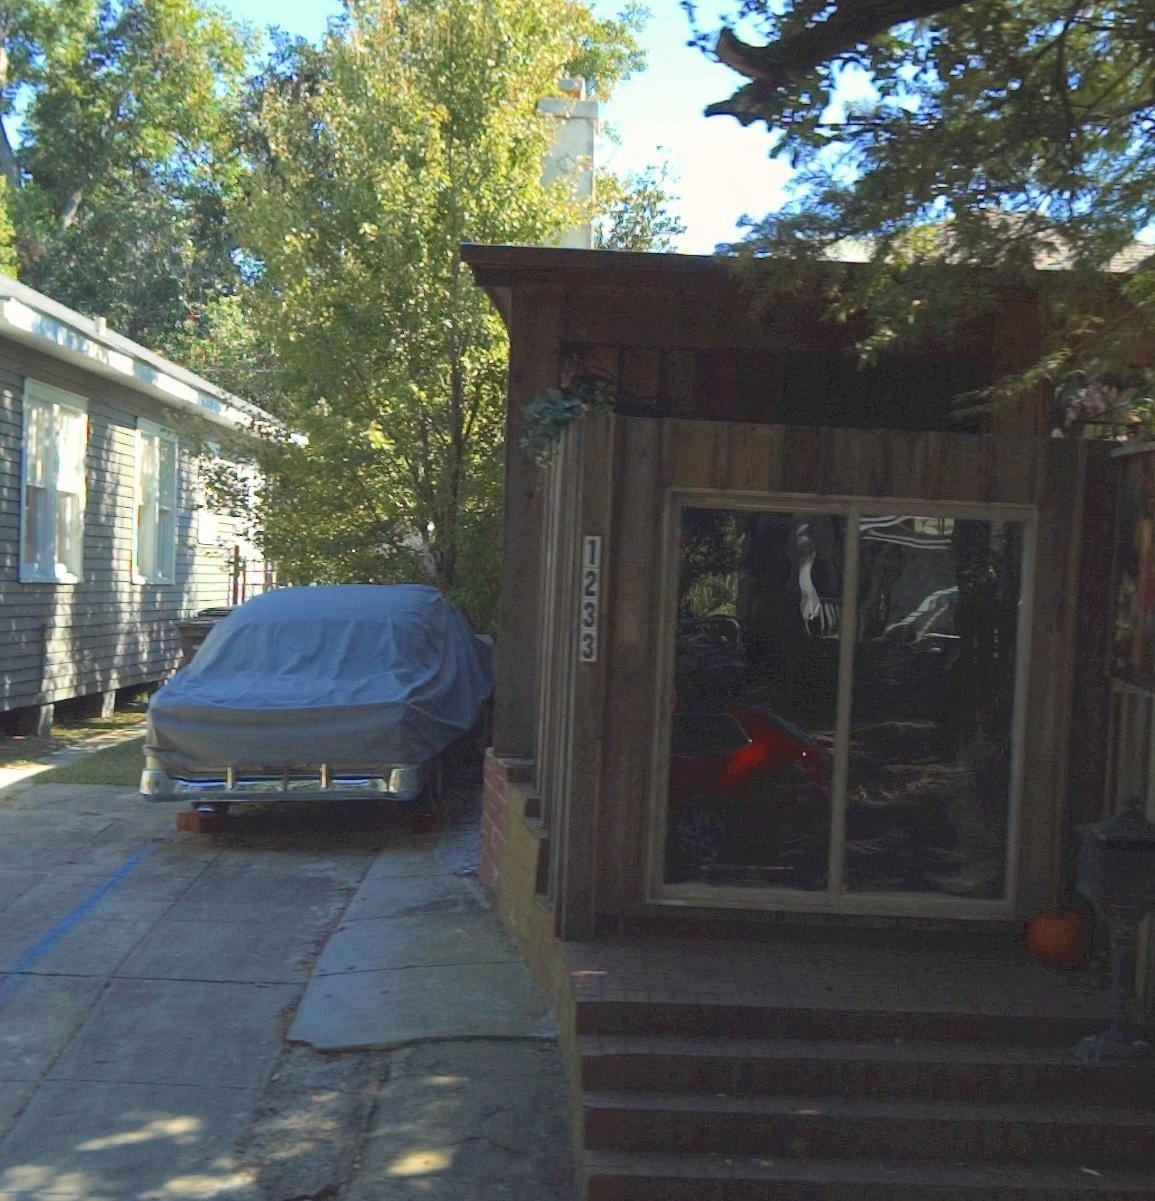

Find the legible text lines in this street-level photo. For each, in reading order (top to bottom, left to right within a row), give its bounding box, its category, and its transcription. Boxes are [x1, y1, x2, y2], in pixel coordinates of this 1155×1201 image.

[579, 536, 600, 661] StreetNumber: 1233